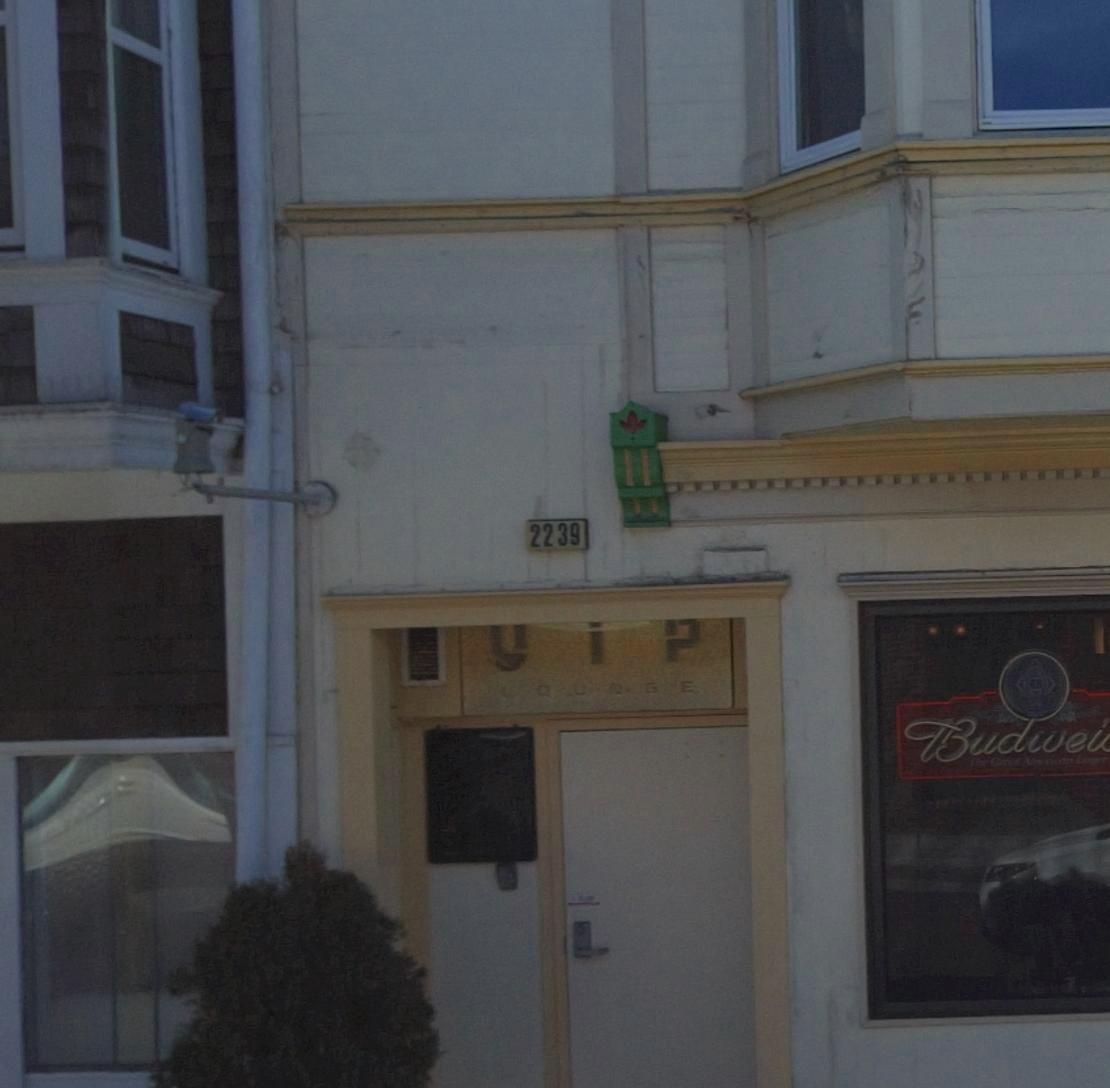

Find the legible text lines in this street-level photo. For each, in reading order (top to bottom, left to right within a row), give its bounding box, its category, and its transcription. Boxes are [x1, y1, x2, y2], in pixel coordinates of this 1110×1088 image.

[529, 521, 581, 548] StreetNumber: 2239
[484, 614, 706, 674] BusinessName: yip
[495, 676, 697, 702] BusinessName: LOUNGE
[922, 716, 1108, 763] None: Budwei